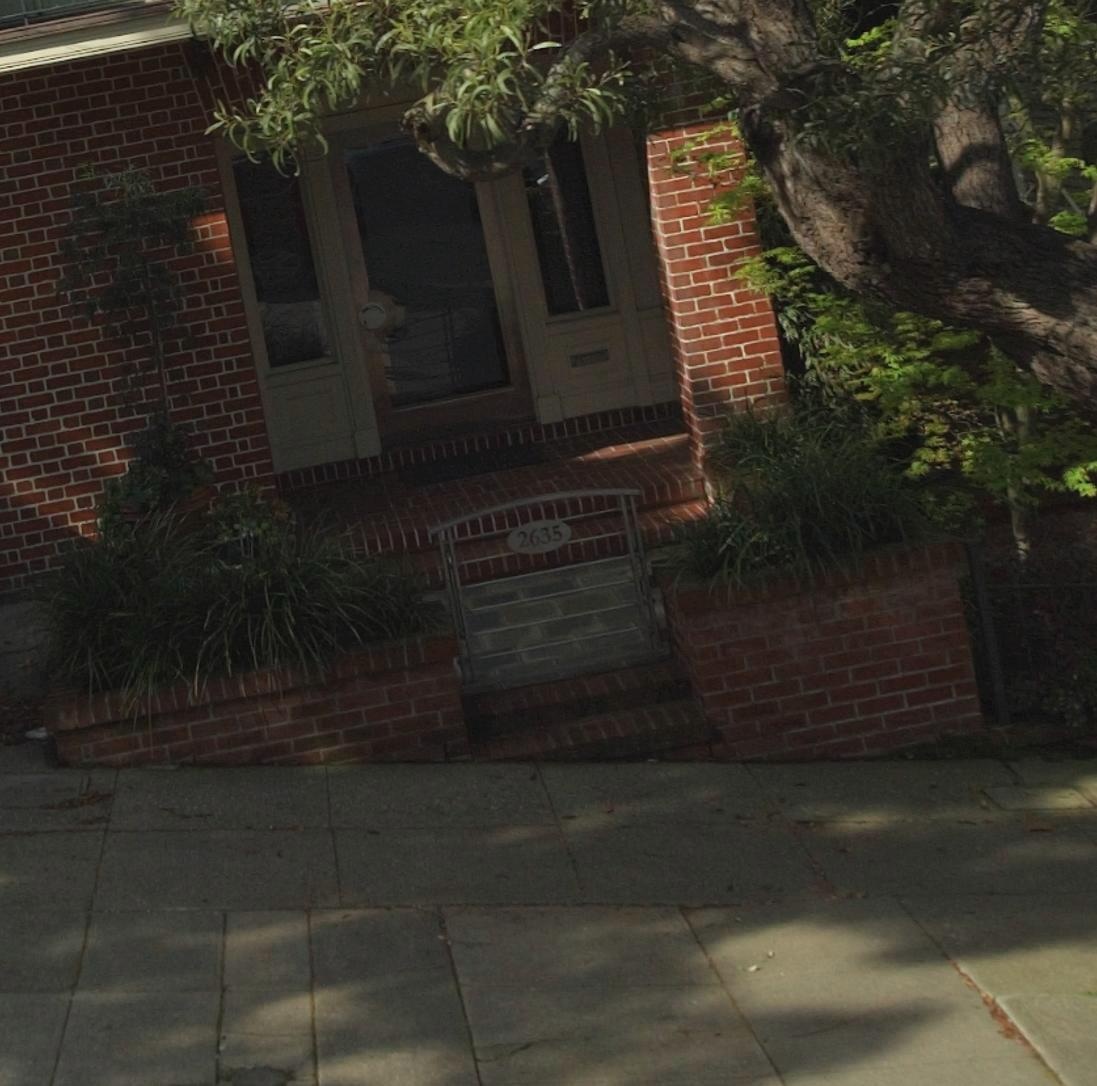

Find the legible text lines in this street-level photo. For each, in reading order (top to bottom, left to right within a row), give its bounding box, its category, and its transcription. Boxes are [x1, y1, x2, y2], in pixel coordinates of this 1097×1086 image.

[515, 522, 565, 552] StreetNumber: 2635